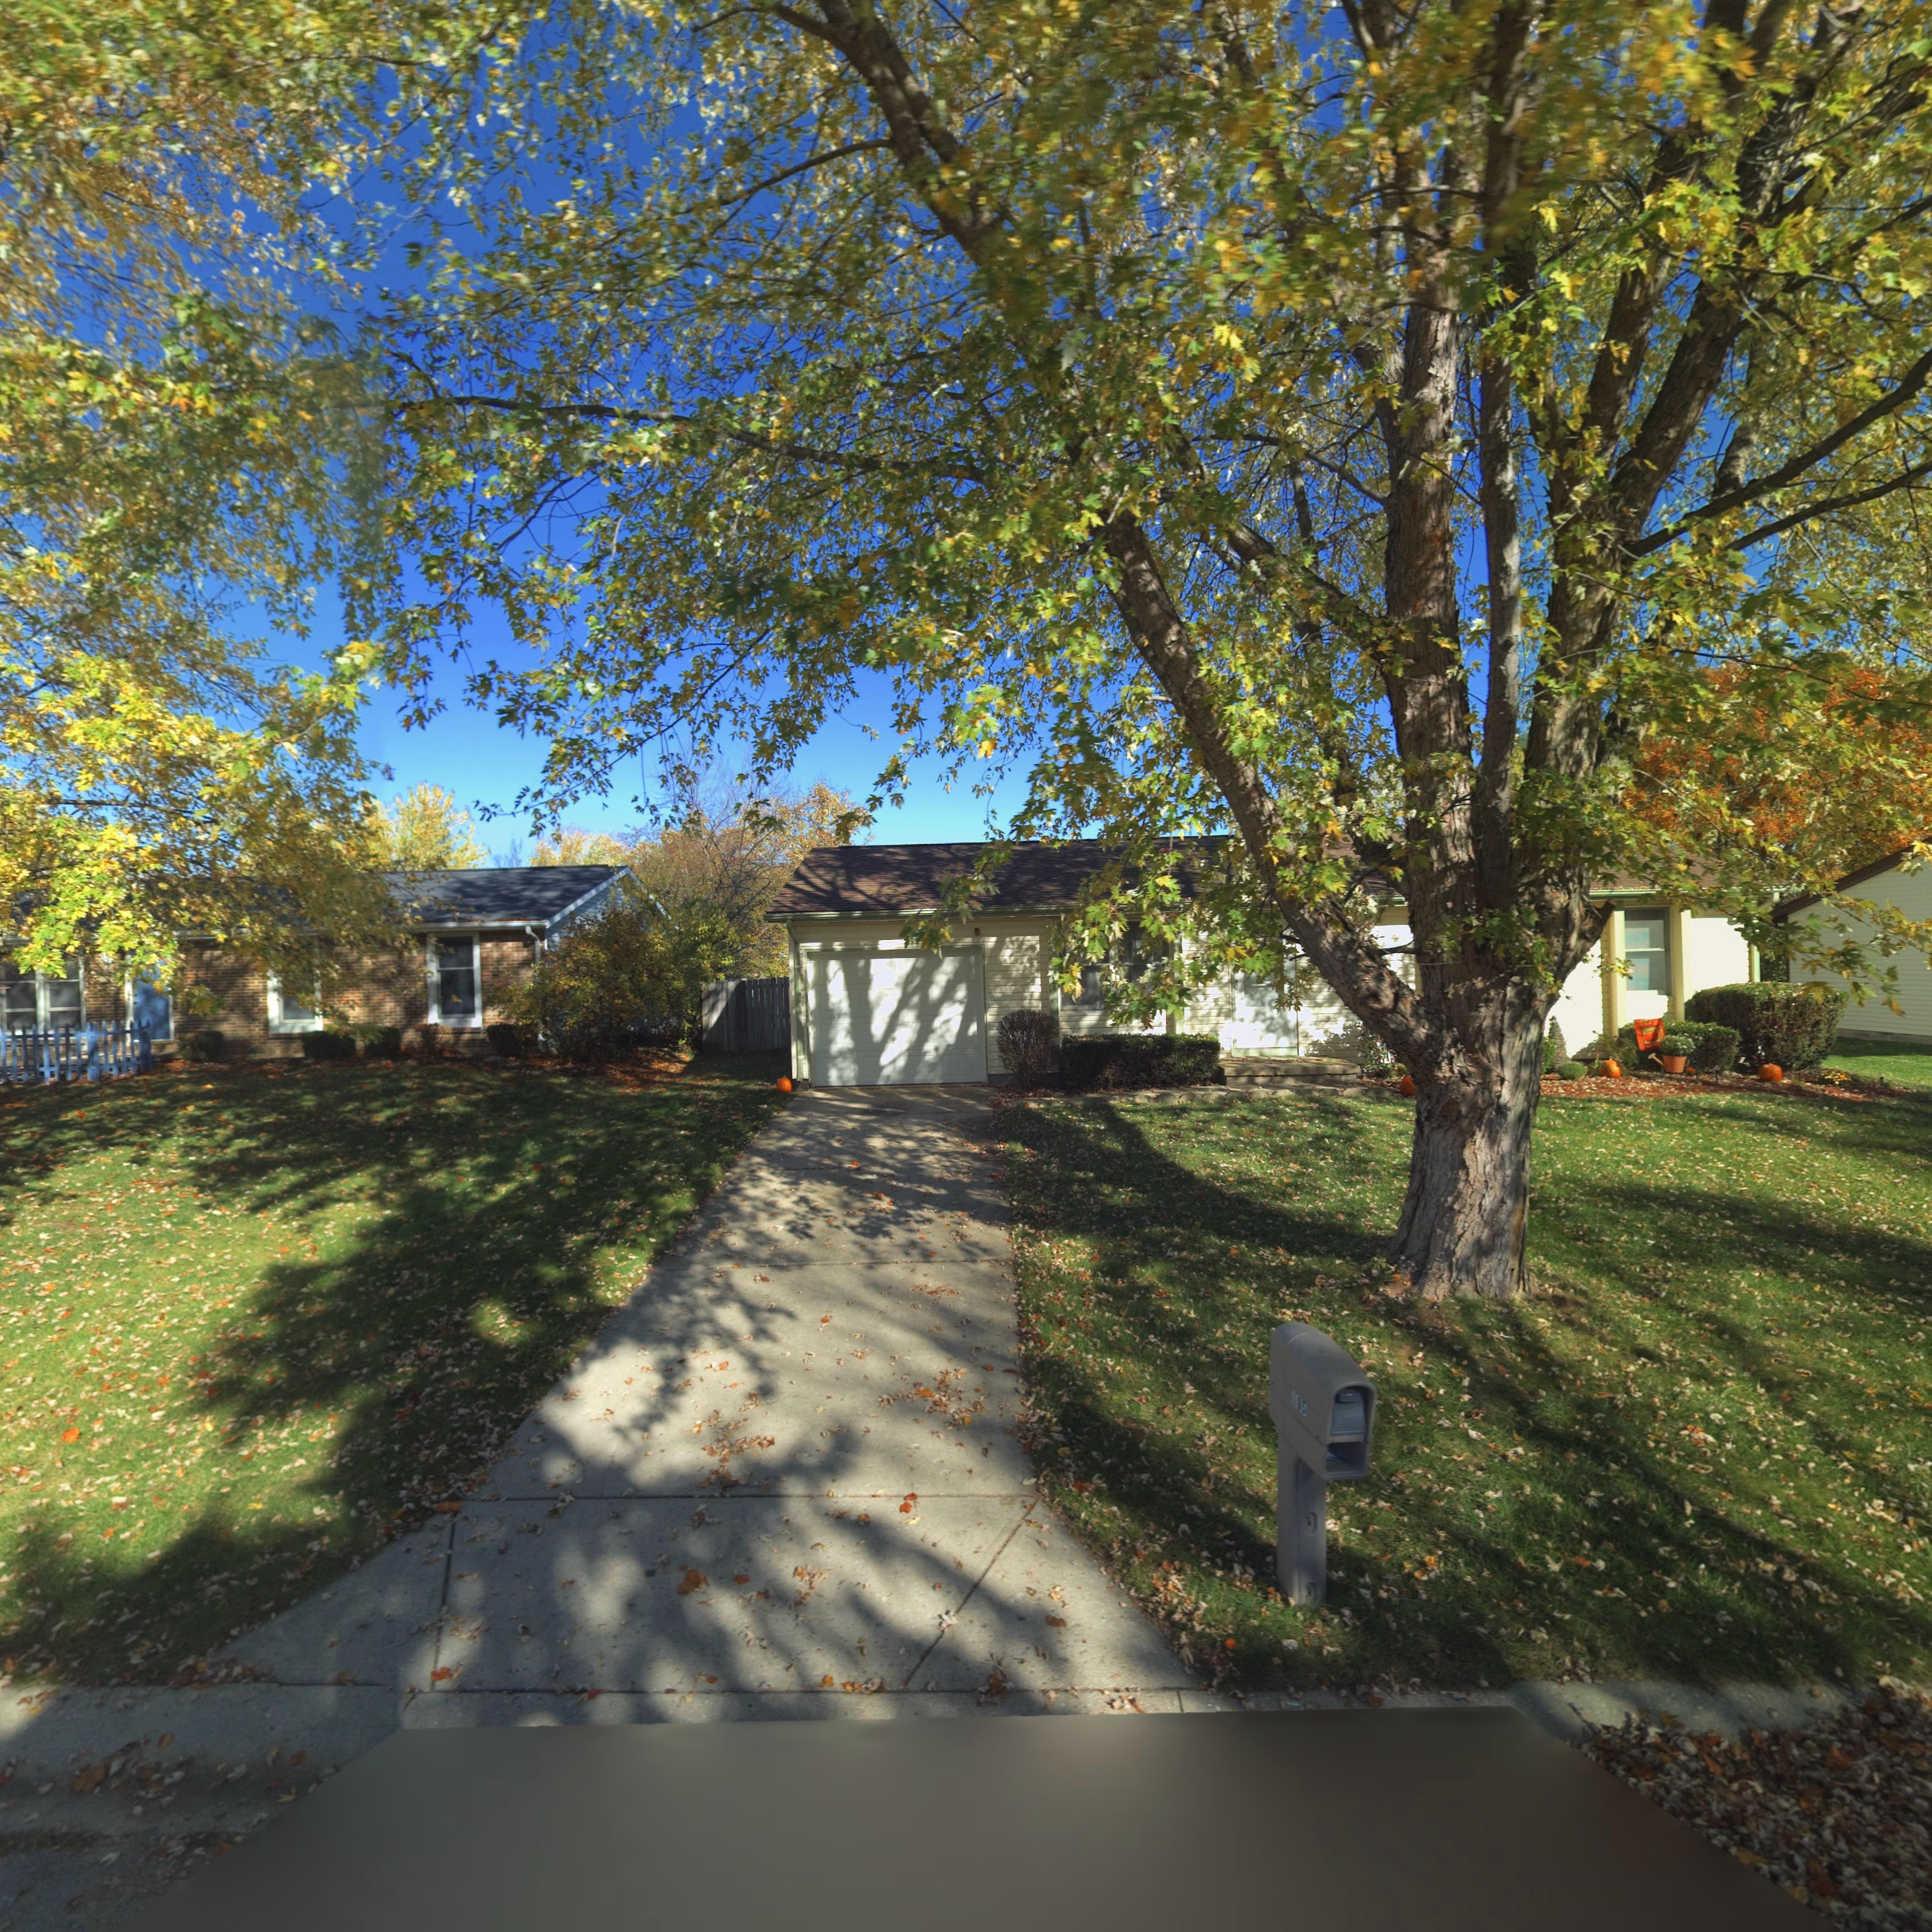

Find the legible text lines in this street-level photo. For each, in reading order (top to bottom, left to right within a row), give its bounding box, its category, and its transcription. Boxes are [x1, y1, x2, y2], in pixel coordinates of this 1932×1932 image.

[1293, 1391, 1307, 1415] StreetNumber: 115